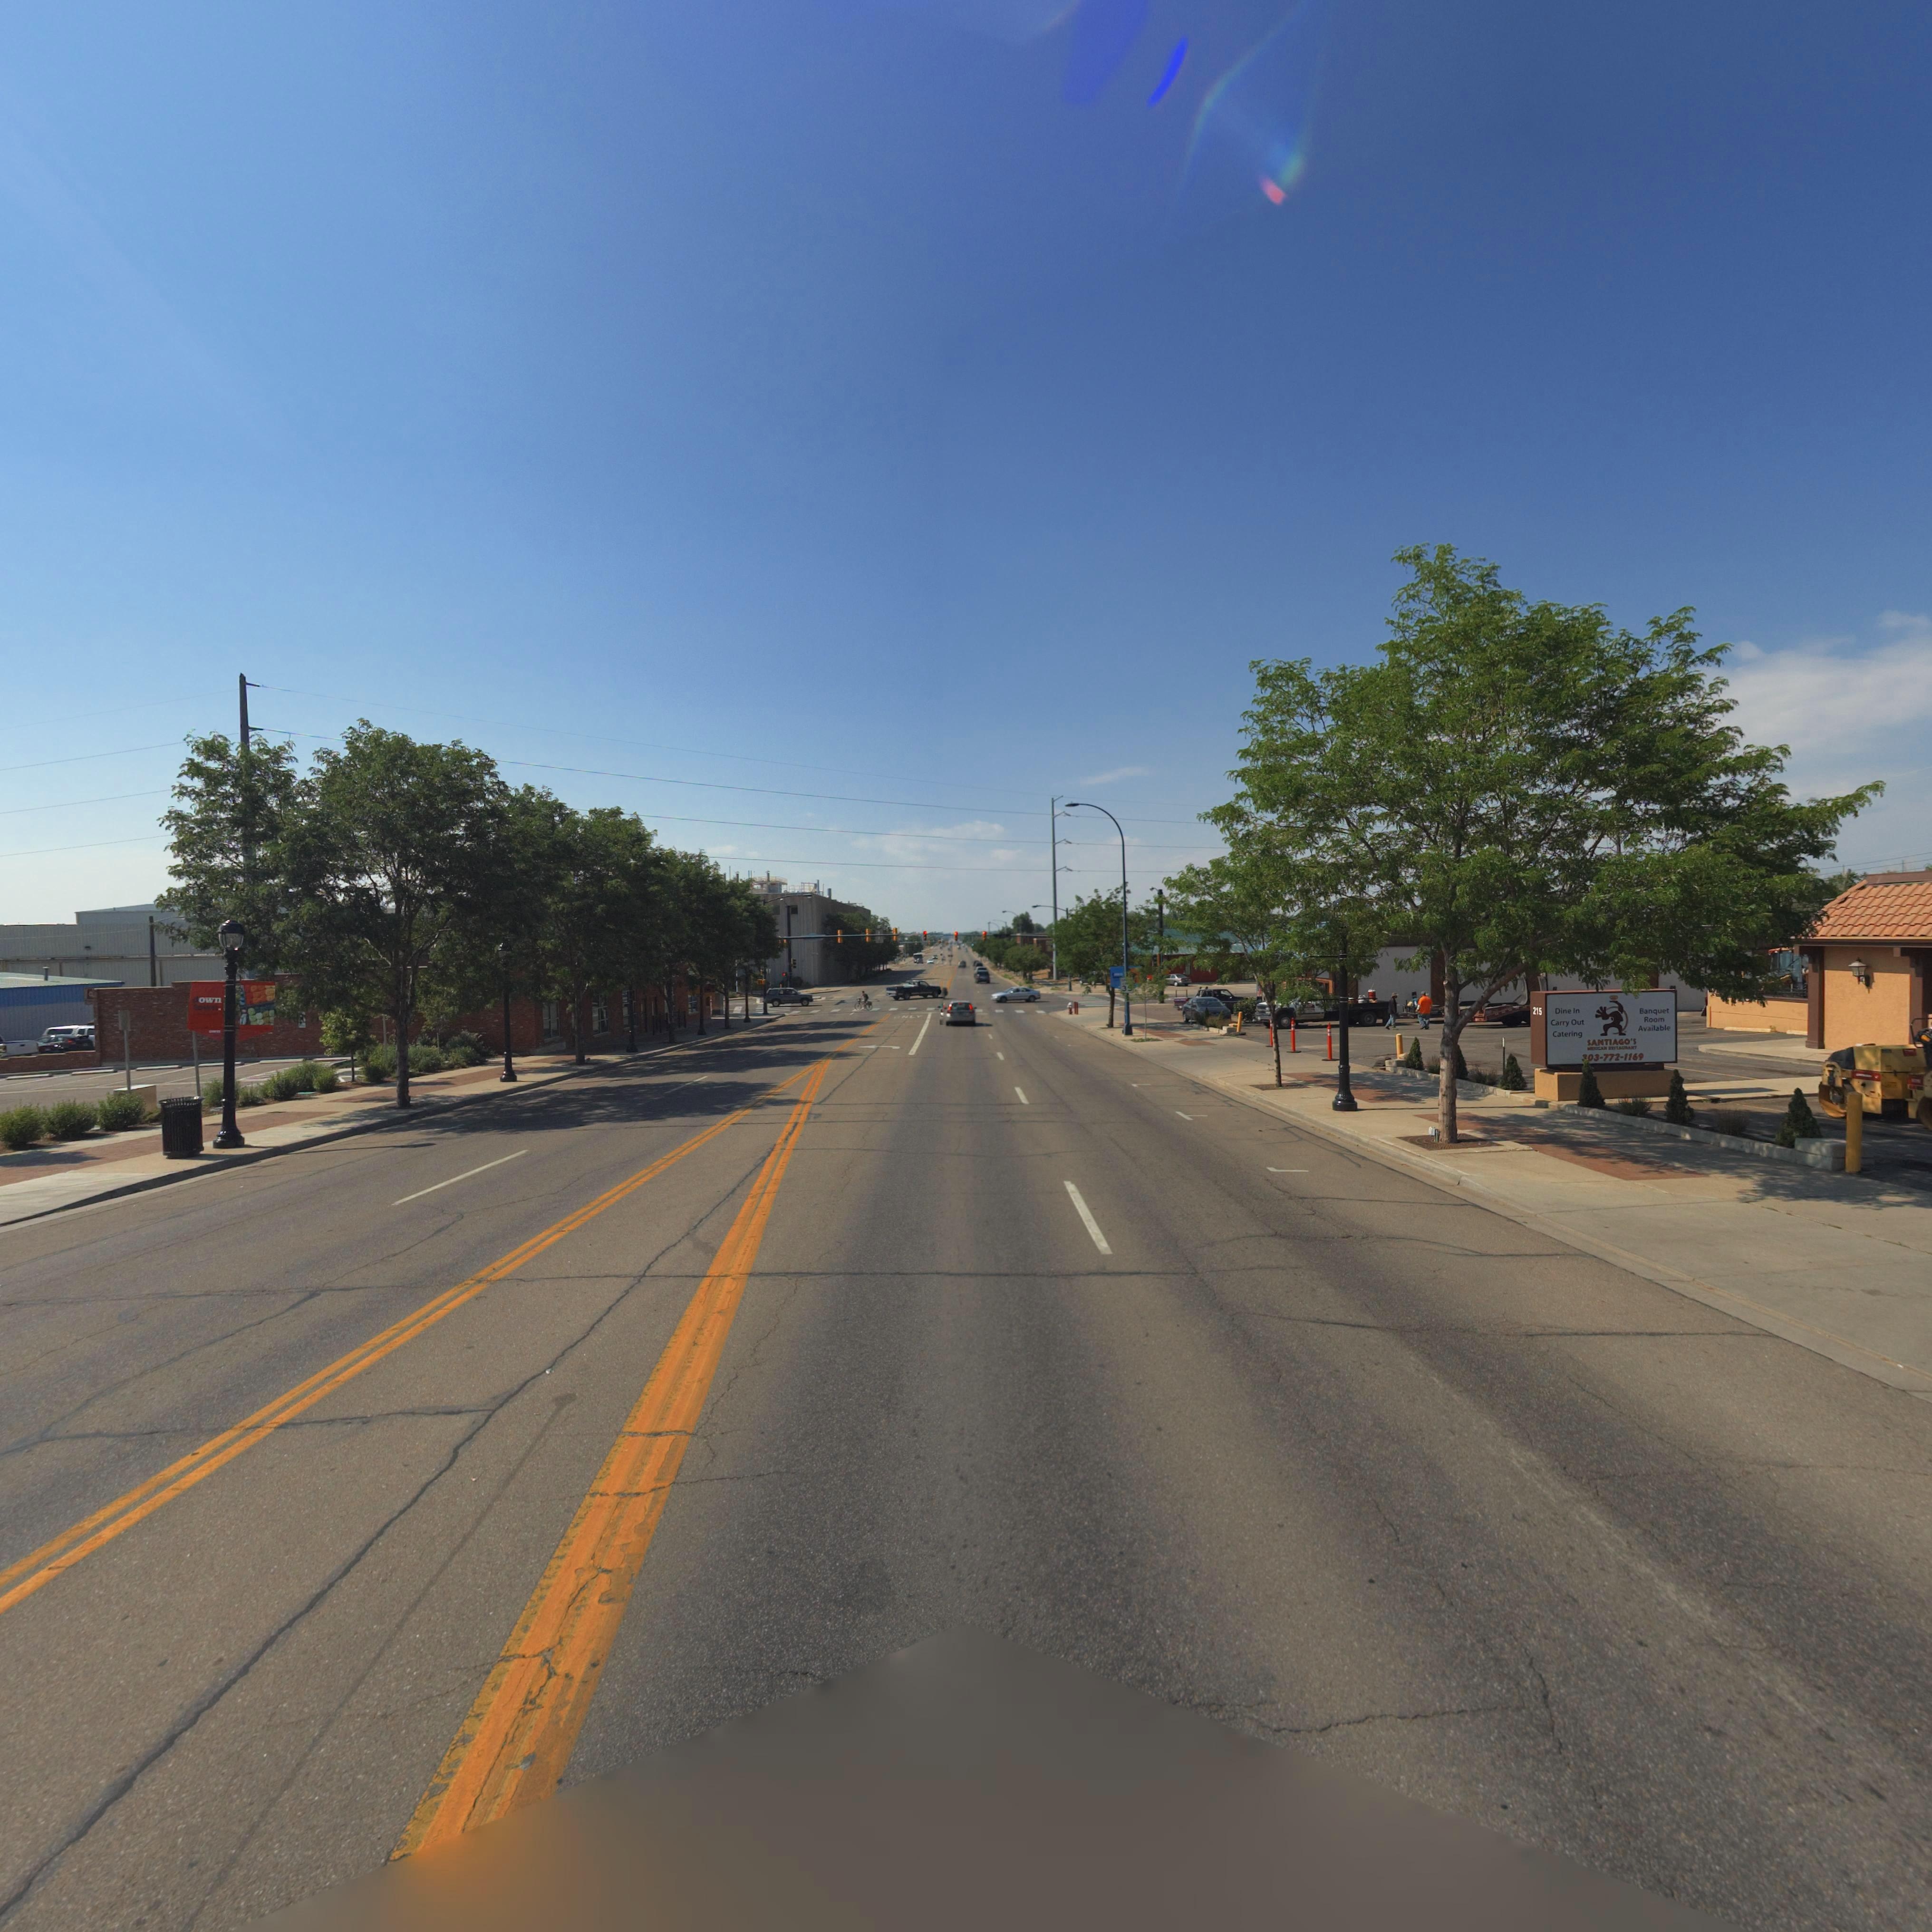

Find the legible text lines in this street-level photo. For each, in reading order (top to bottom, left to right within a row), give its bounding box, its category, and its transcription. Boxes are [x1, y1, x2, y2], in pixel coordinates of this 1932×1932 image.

[1532, 1006, 1542, 1016] StreetNumber: 215
[1586, 1038, 1637, 1045] BusinessName: SANTIAGO'S
[1587, 1045, 1637, 1051] BusinessName: ME**CAN RE**A***NT